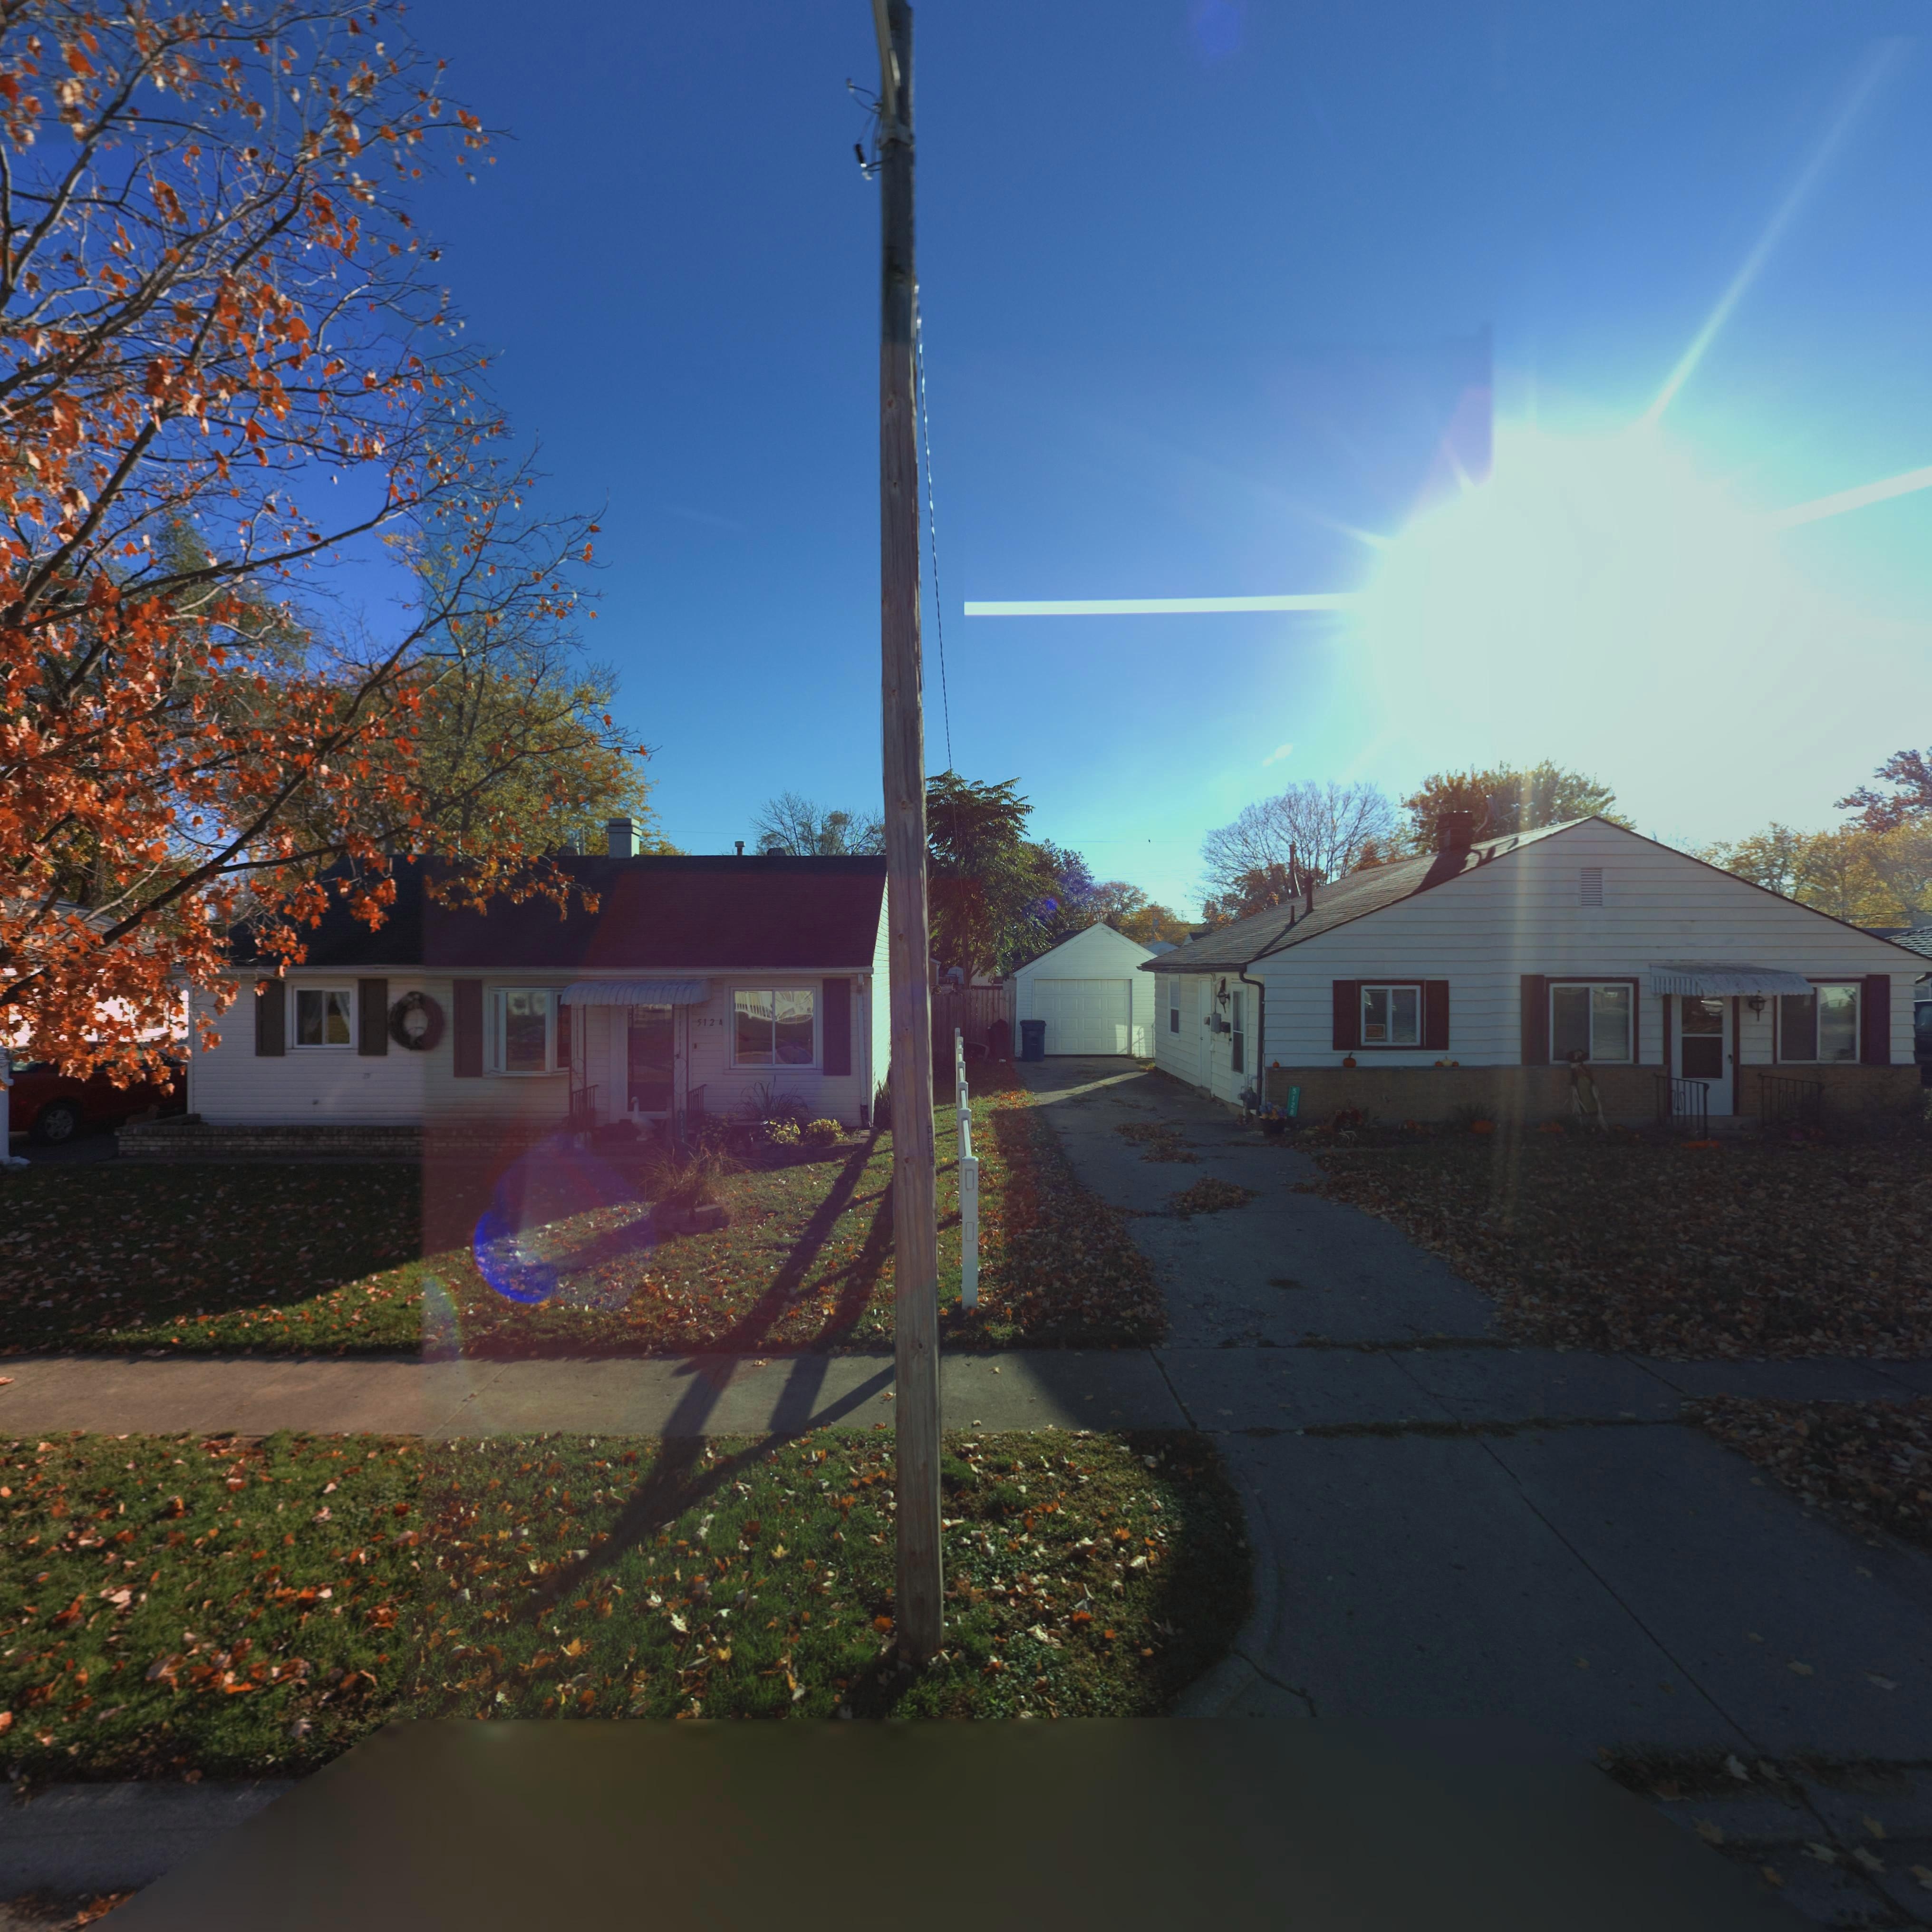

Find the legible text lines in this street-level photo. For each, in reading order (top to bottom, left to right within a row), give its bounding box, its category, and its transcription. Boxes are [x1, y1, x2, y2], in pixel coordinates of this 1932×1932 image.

[696, 1018, 723, 1027] StreetNumber: 5124
[1289, 1087, 1297, 1115] StreetNumber: 5128